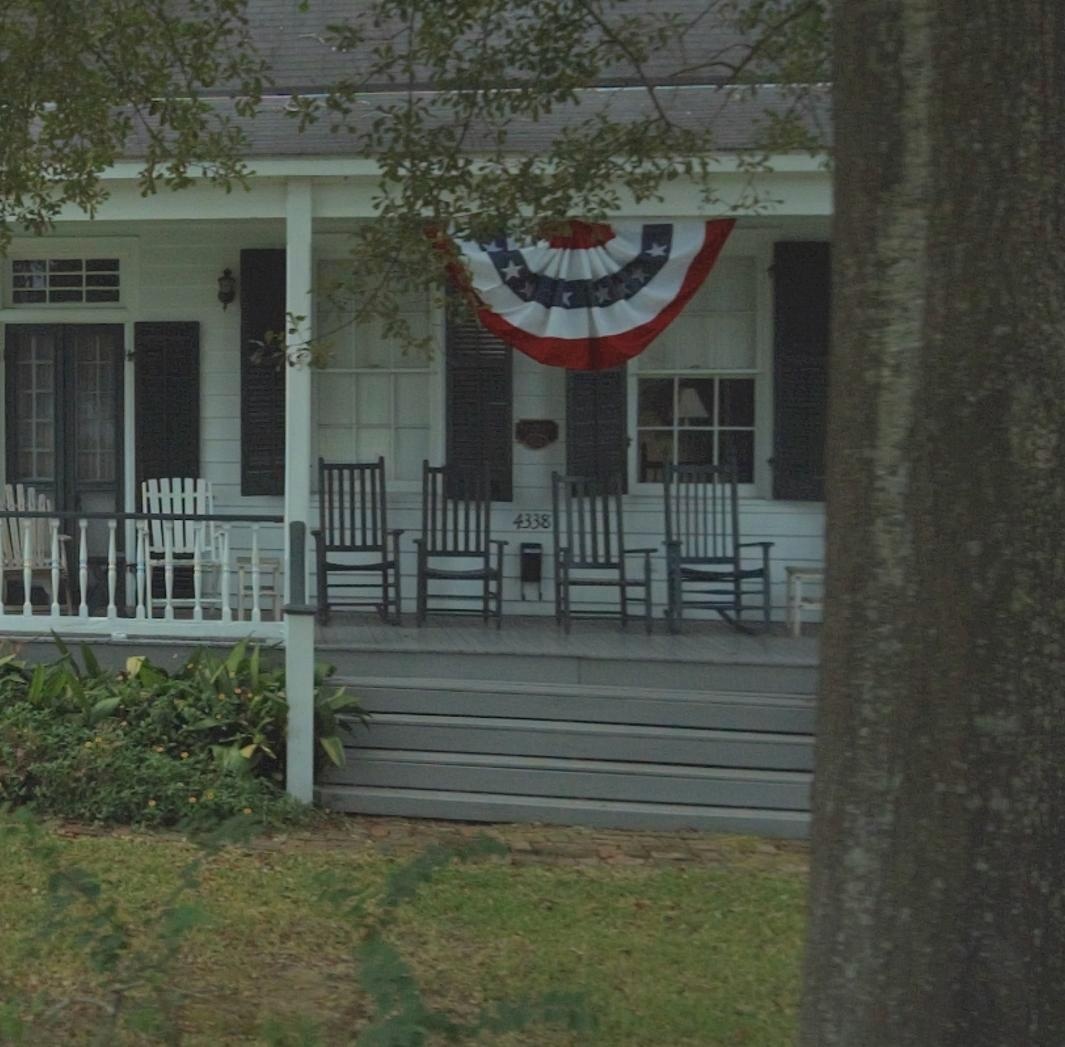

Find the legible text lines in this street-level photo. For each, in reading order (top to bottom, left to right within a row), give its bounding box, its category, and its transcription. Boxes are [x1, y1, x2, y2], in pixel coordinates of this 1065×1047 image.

[513, 512, 551, 531] StreetNumber: 4338